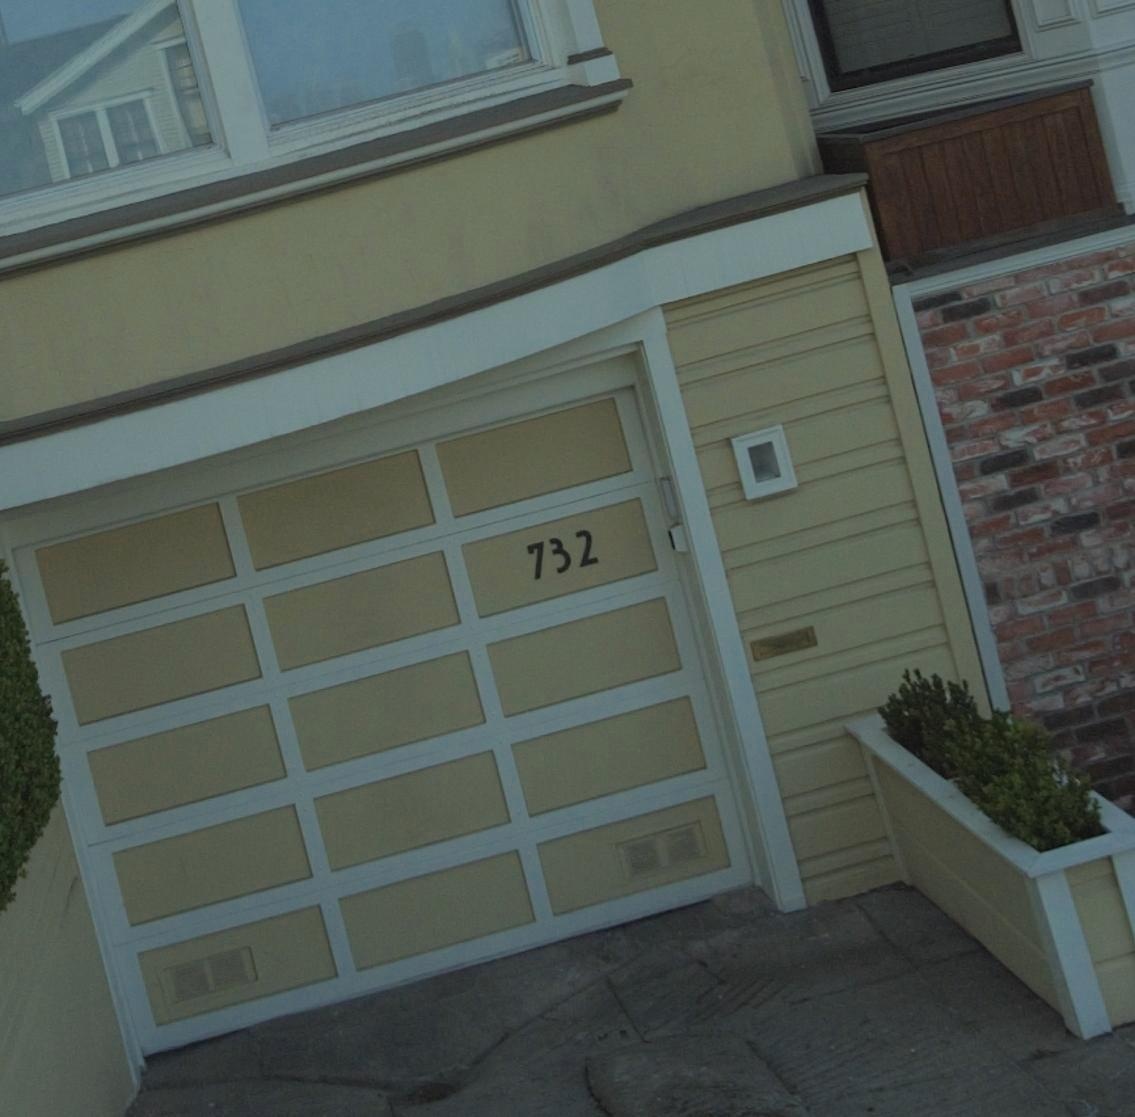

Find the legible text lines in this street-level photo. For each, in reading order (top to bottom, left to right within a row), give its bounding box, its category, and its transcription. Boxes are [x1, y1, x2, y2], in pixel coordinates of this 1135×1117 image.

[524, 526, 602, 583] StreetNumber: 732